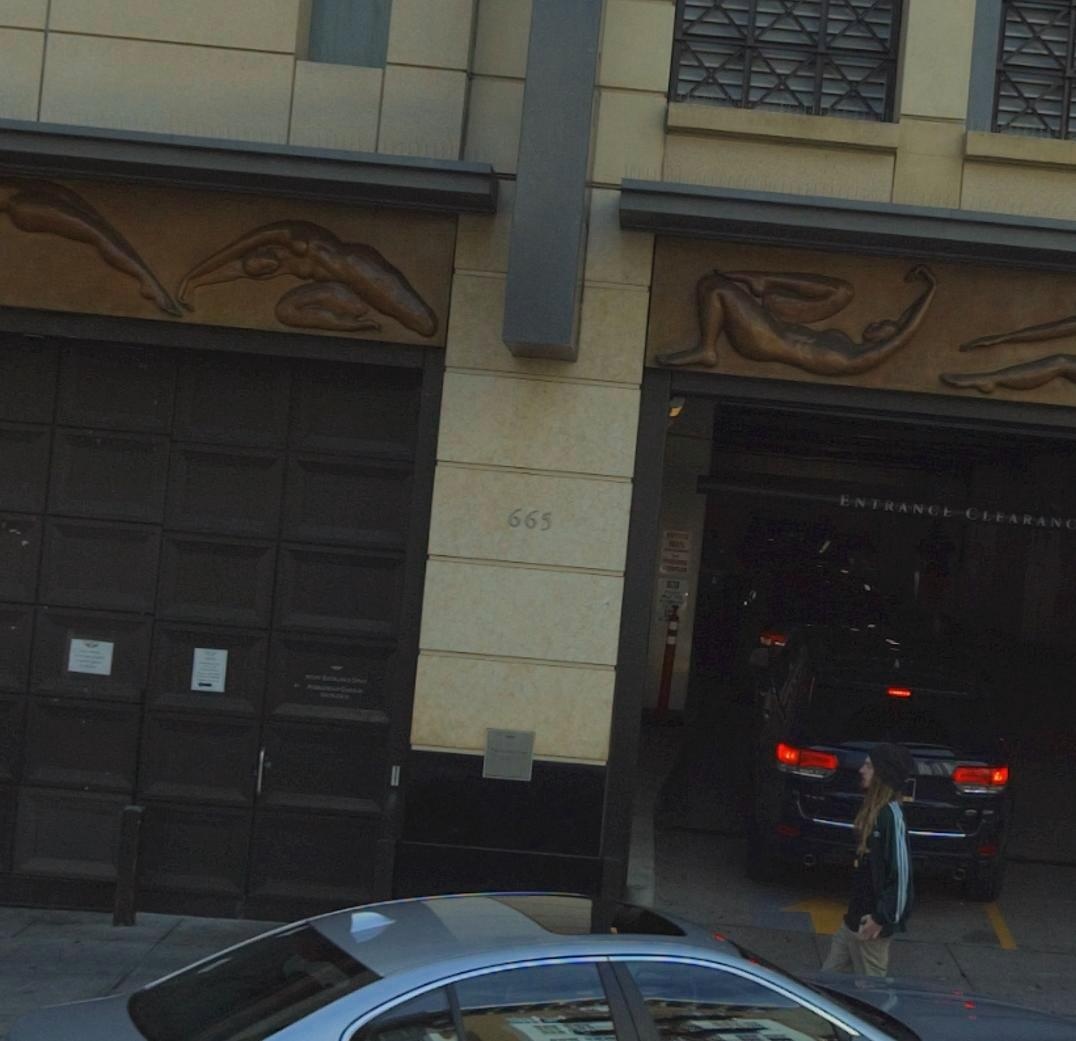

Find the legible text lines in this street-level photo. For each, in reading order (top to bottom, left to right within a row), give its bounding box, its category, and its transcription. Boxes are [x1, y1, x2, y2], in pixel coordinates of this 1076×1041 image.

[504, 505, 562, 534] StreetNumber: 665
[835, 491, 1068, 533] None: ENTRANCE CLEARAN